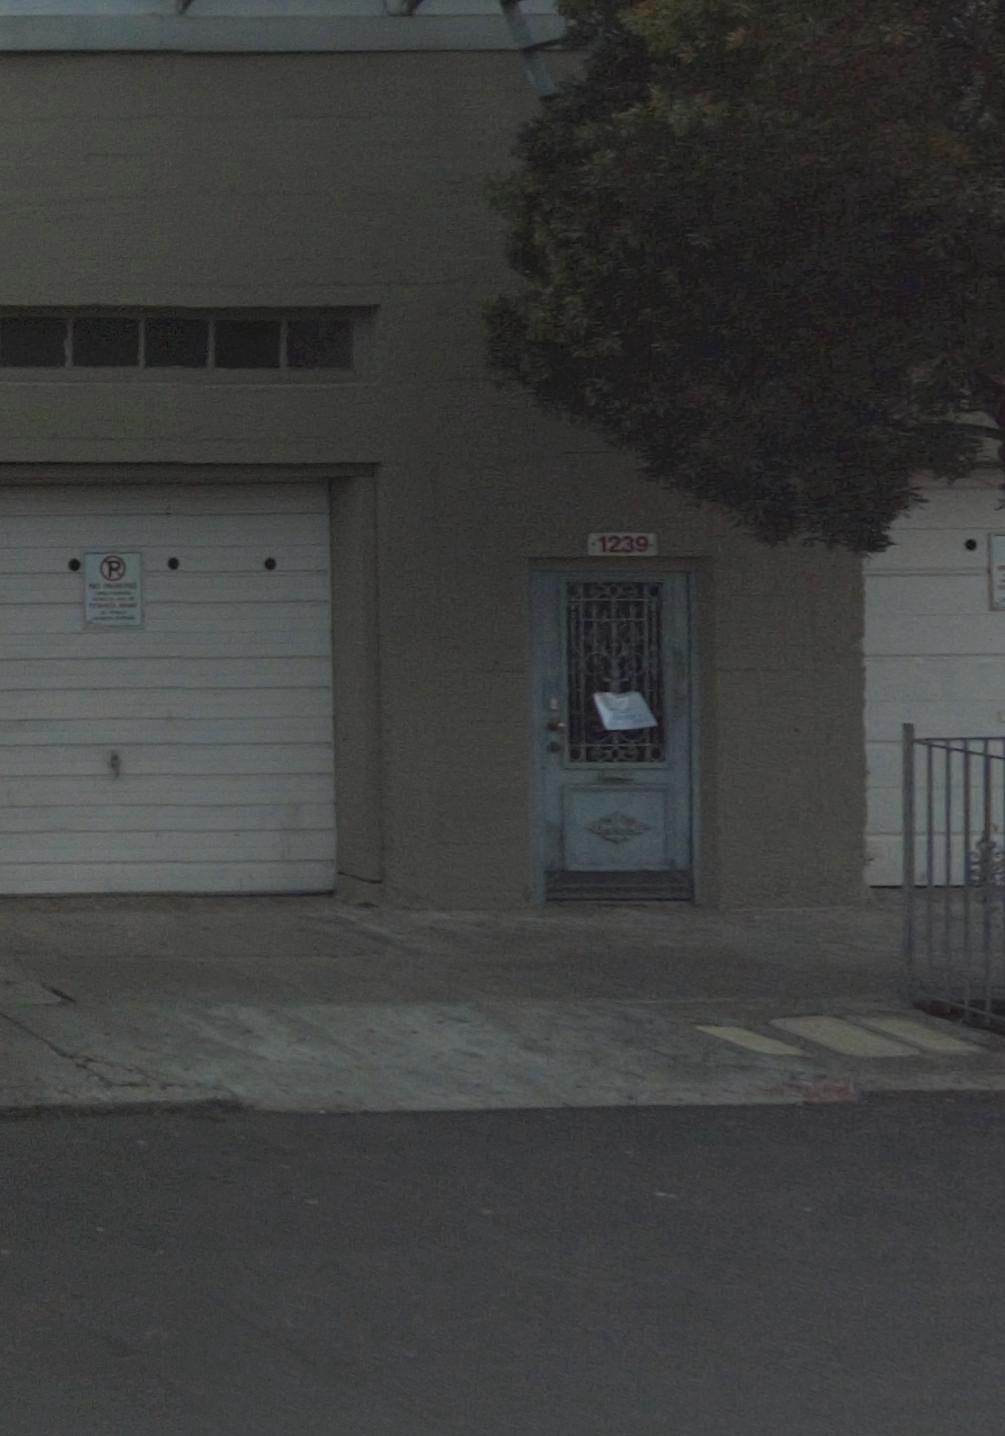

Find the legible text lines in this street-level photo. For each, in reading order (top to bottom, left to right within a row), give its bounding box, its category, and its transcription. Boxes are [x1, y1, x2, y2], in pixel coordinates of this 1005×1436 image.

[596, 535, 649, 554] StreetNumber: 1239
[85, 581, 137, 587] None: NO PARKING